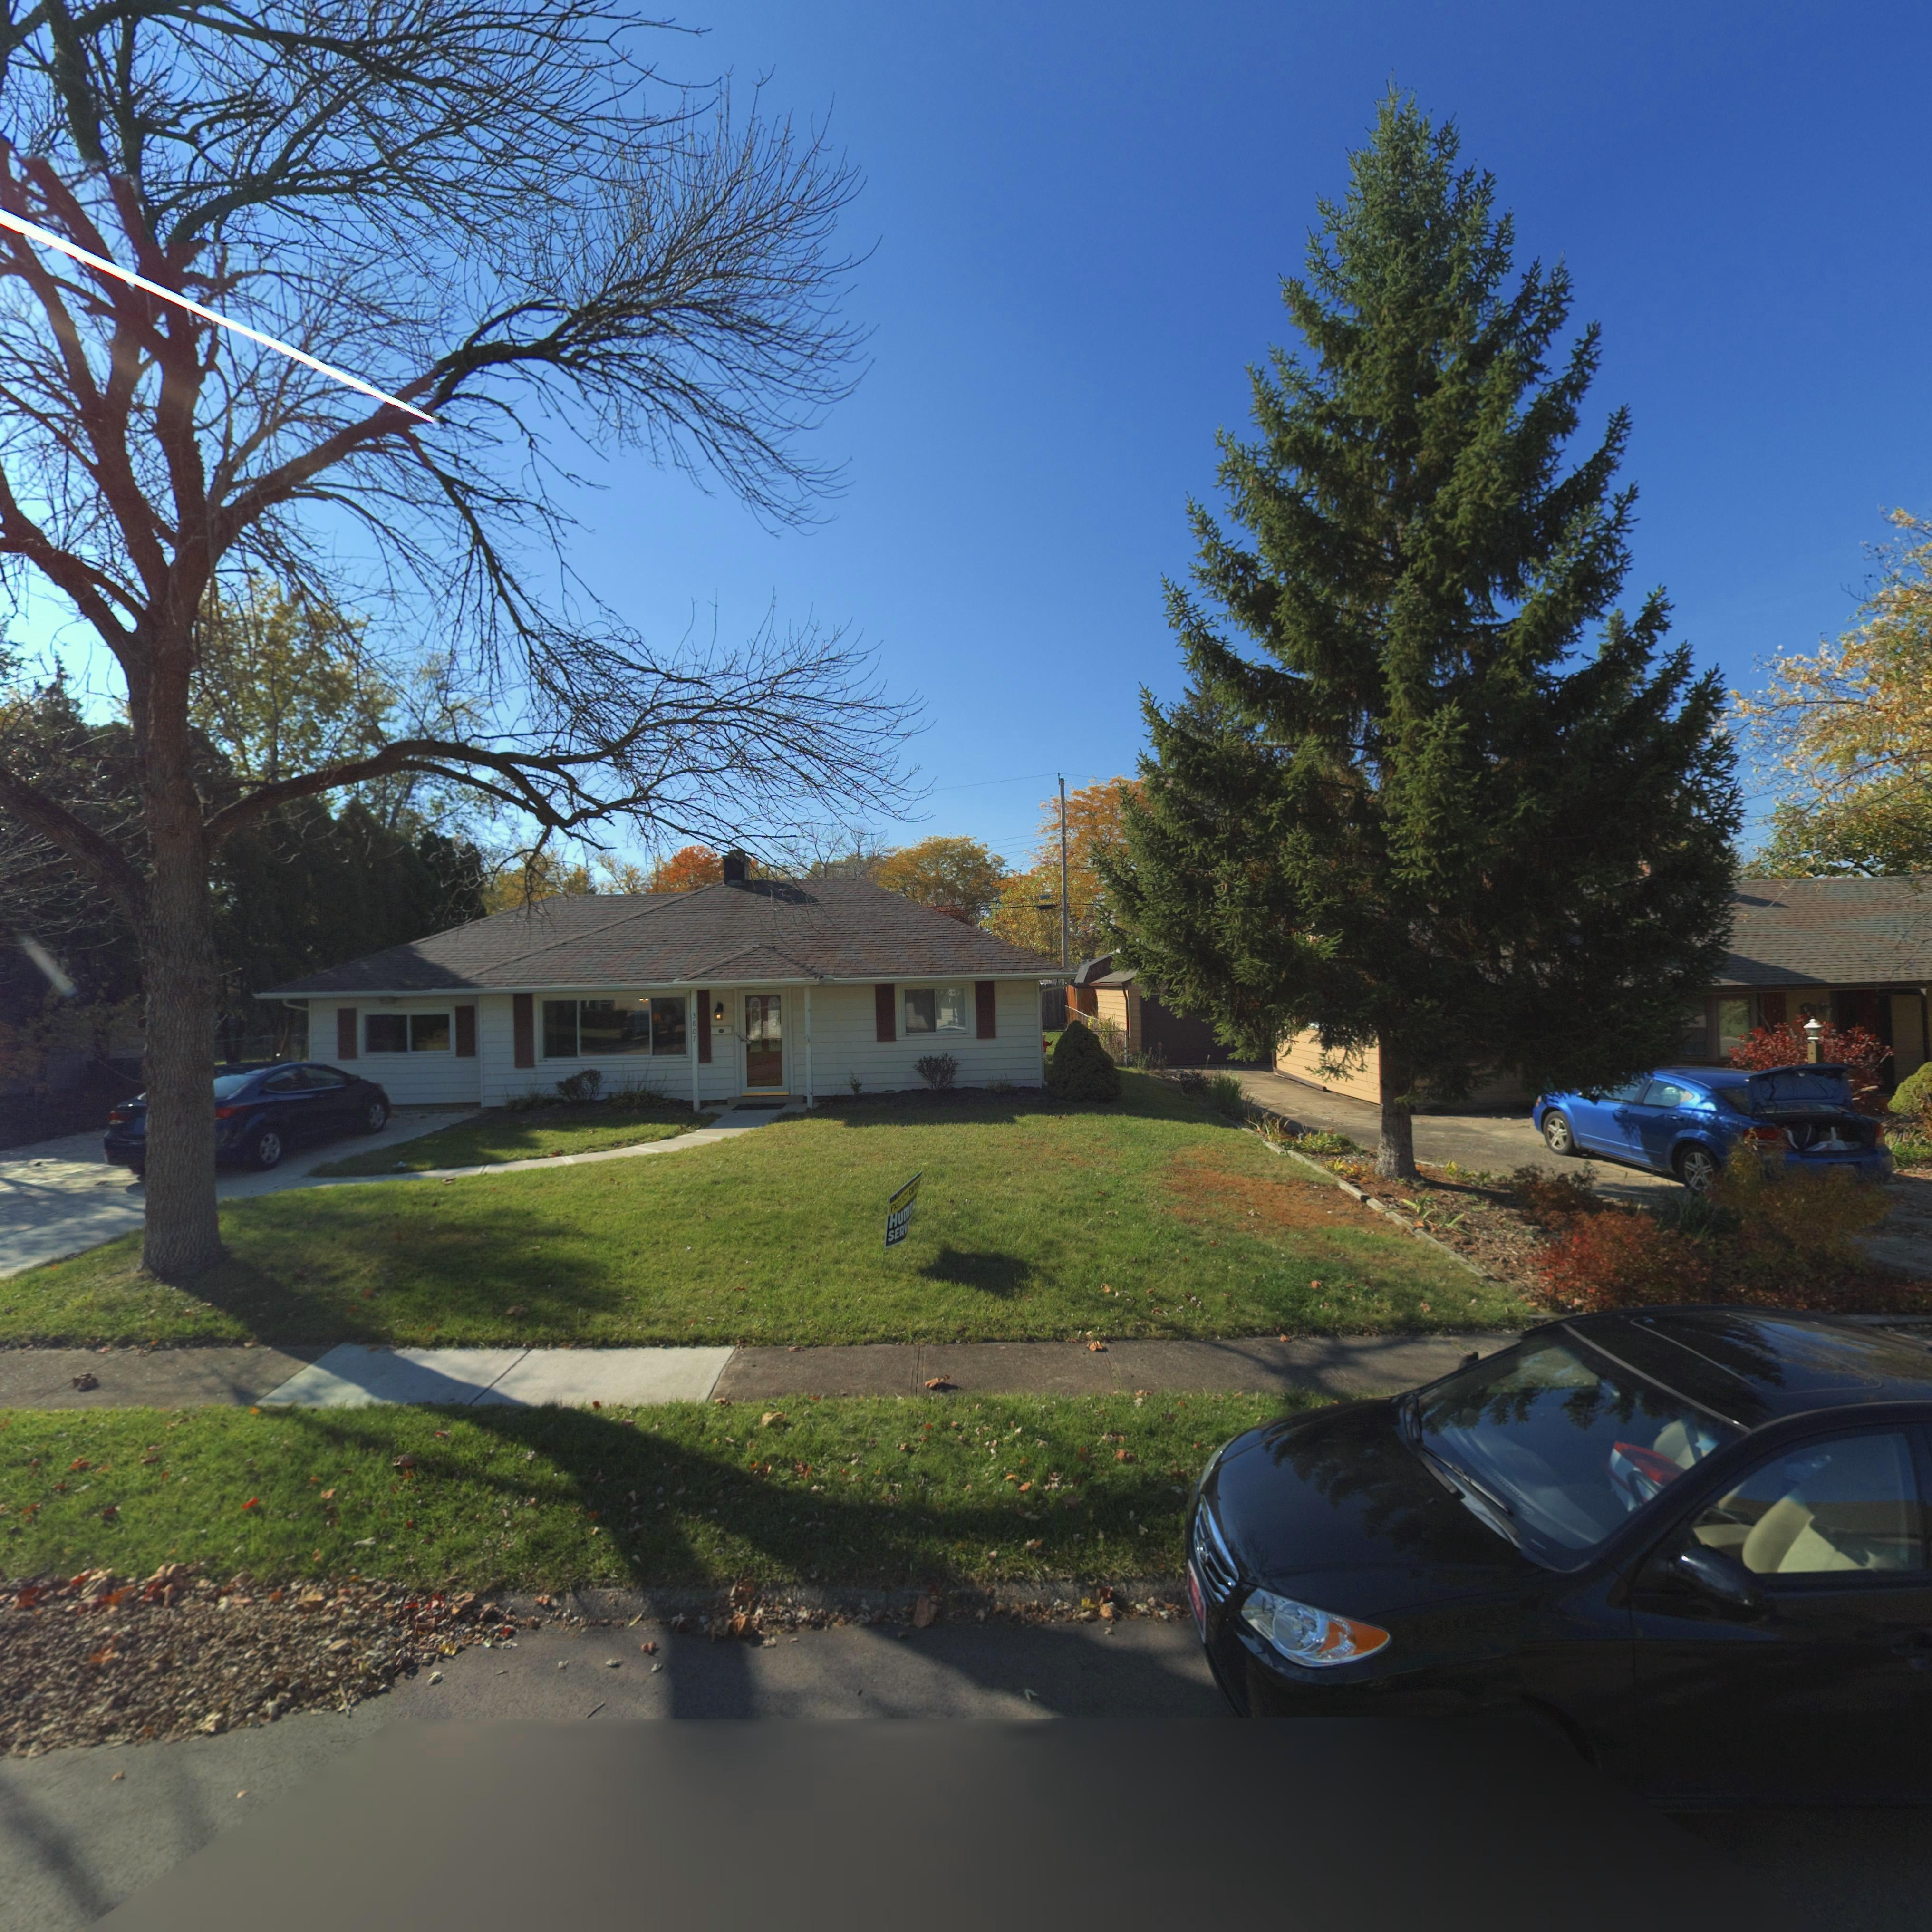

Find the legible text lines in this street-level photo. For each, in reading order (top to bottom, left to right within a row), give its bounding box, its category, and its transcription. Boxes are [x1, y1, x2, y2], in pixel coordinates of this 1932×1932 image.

[691, 1012, 697, 1043] StreetNumber: 3807
[889, 1187, 911, 1214] None: PROTECT
[888, 1203, 911, 1231] None: Hum
[887, 1218, 908, 1244] None: SERV